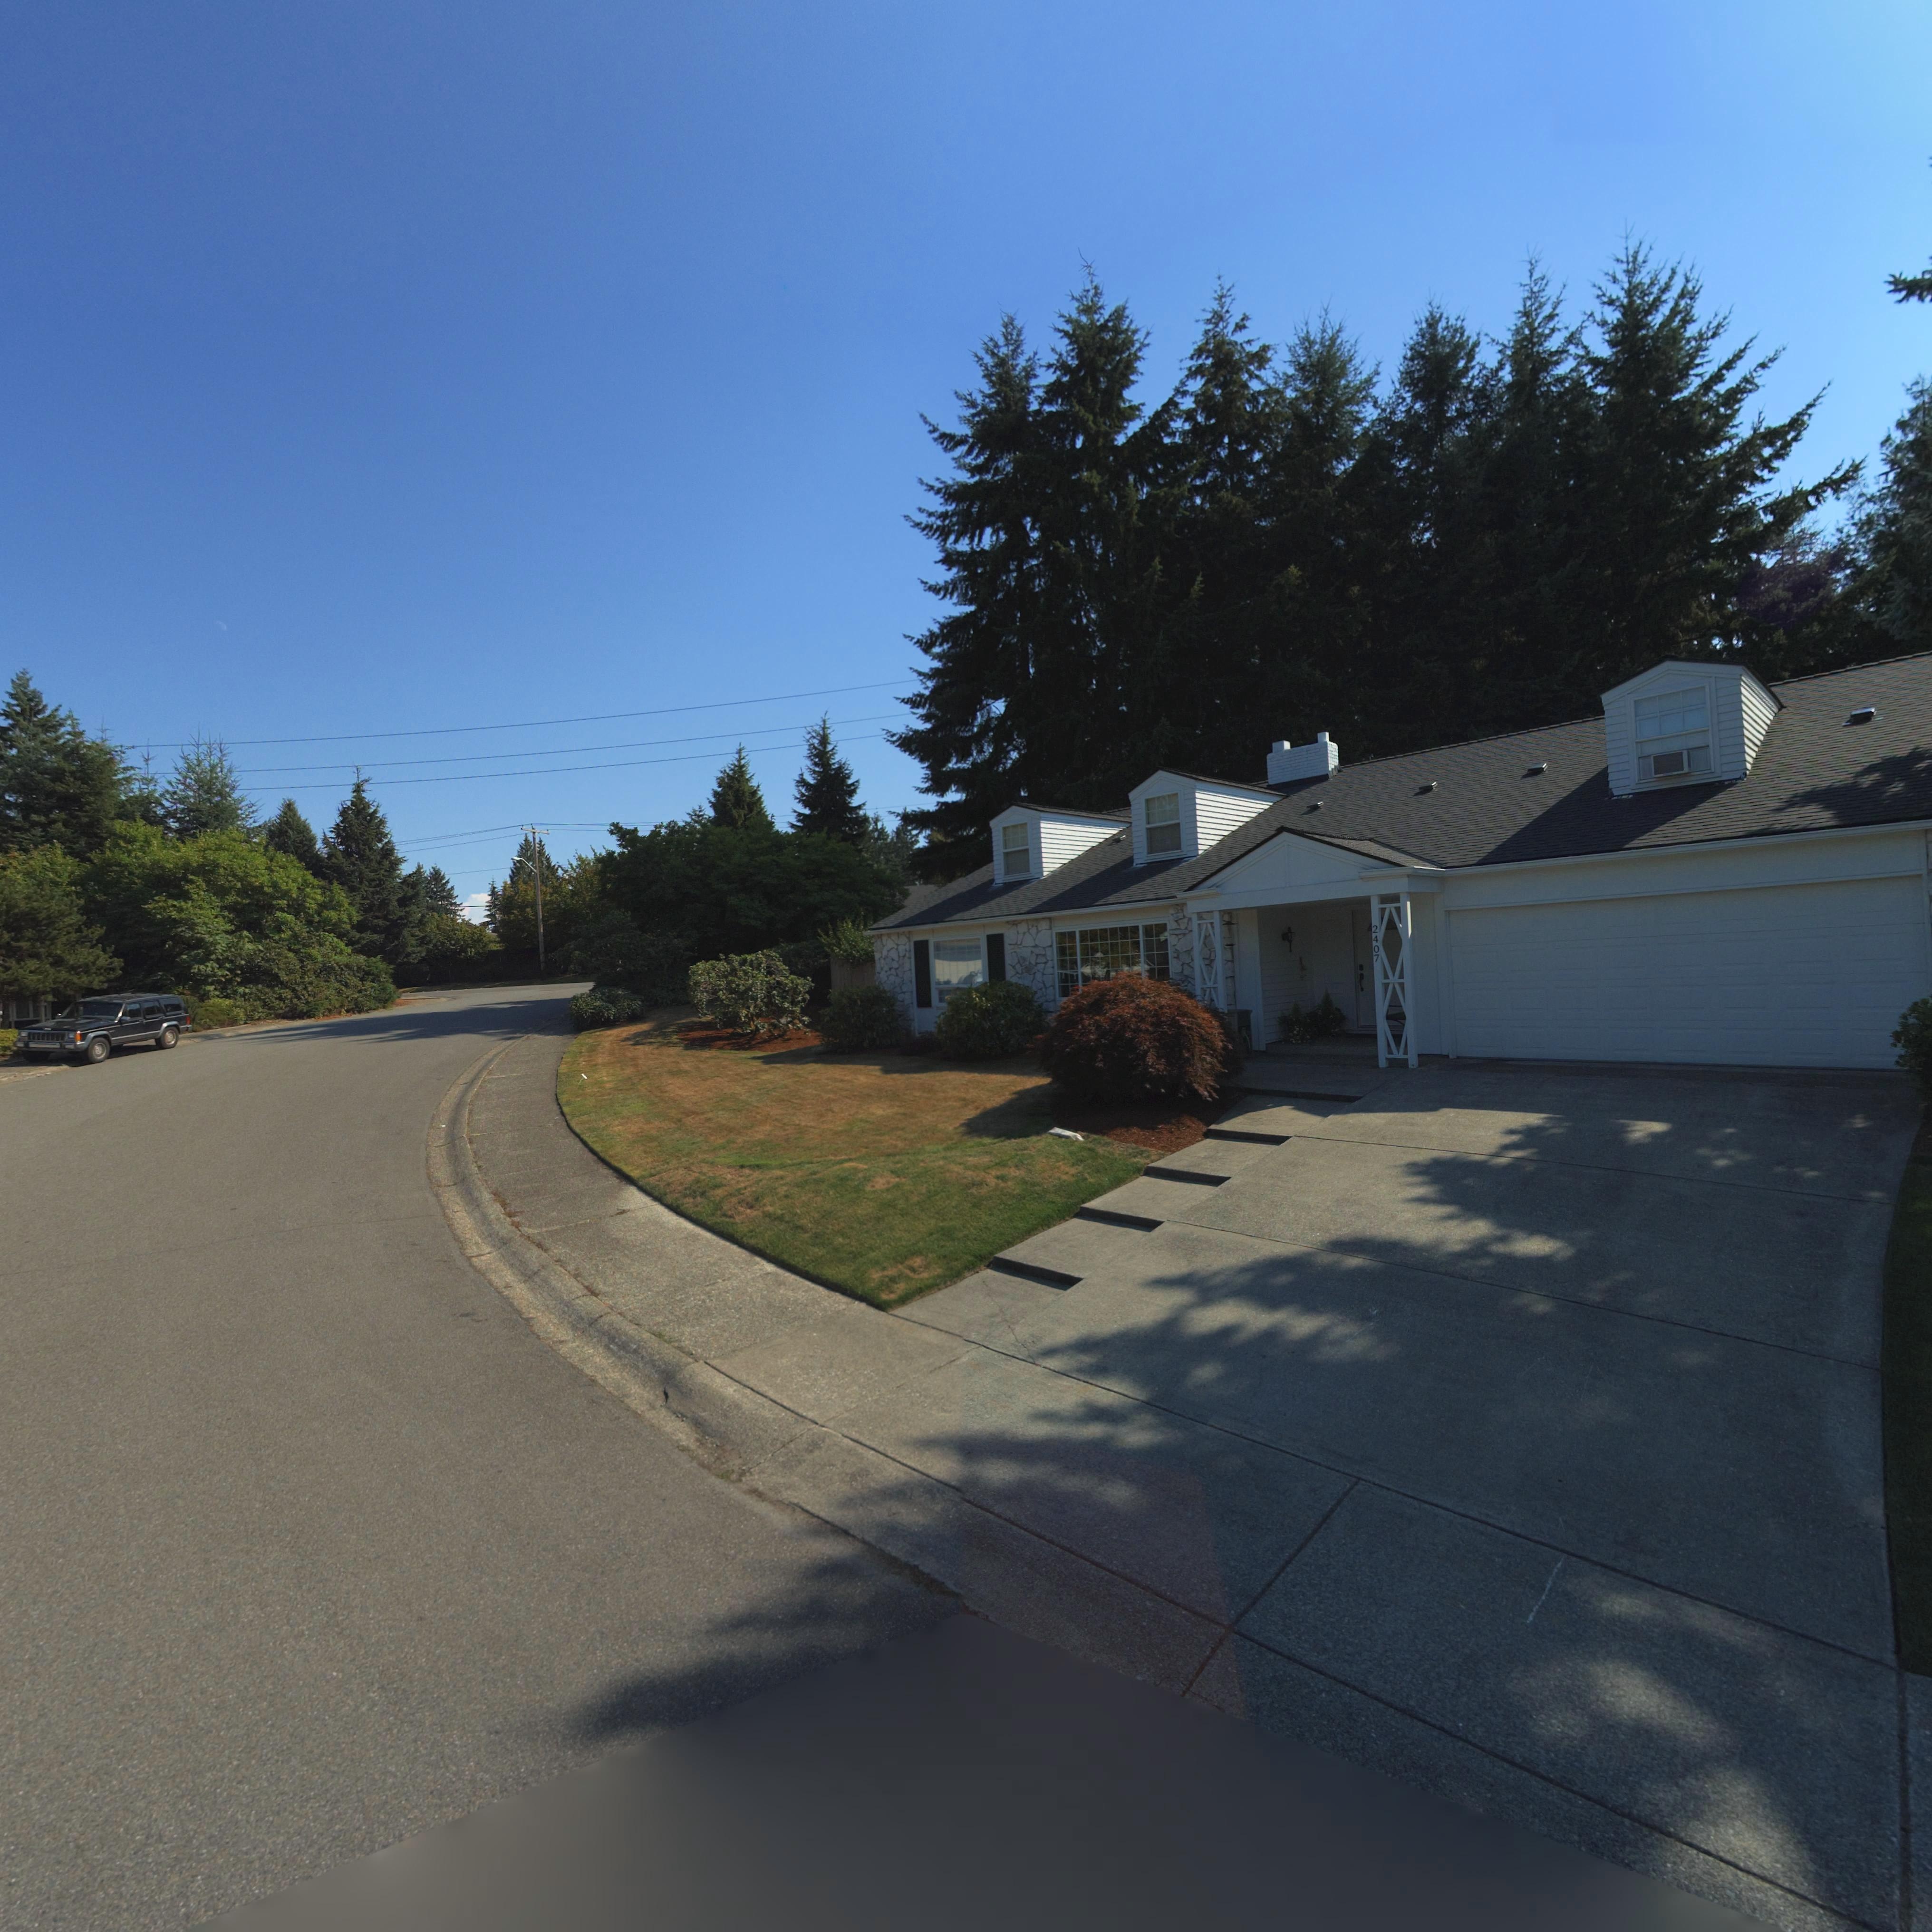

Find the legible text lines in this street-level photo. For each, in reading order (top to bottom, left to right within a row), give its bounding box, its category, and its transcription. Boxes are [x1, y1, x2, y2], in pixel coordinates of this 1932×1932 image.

[1372, 924, 1380, 963] StreetNumber: 2407